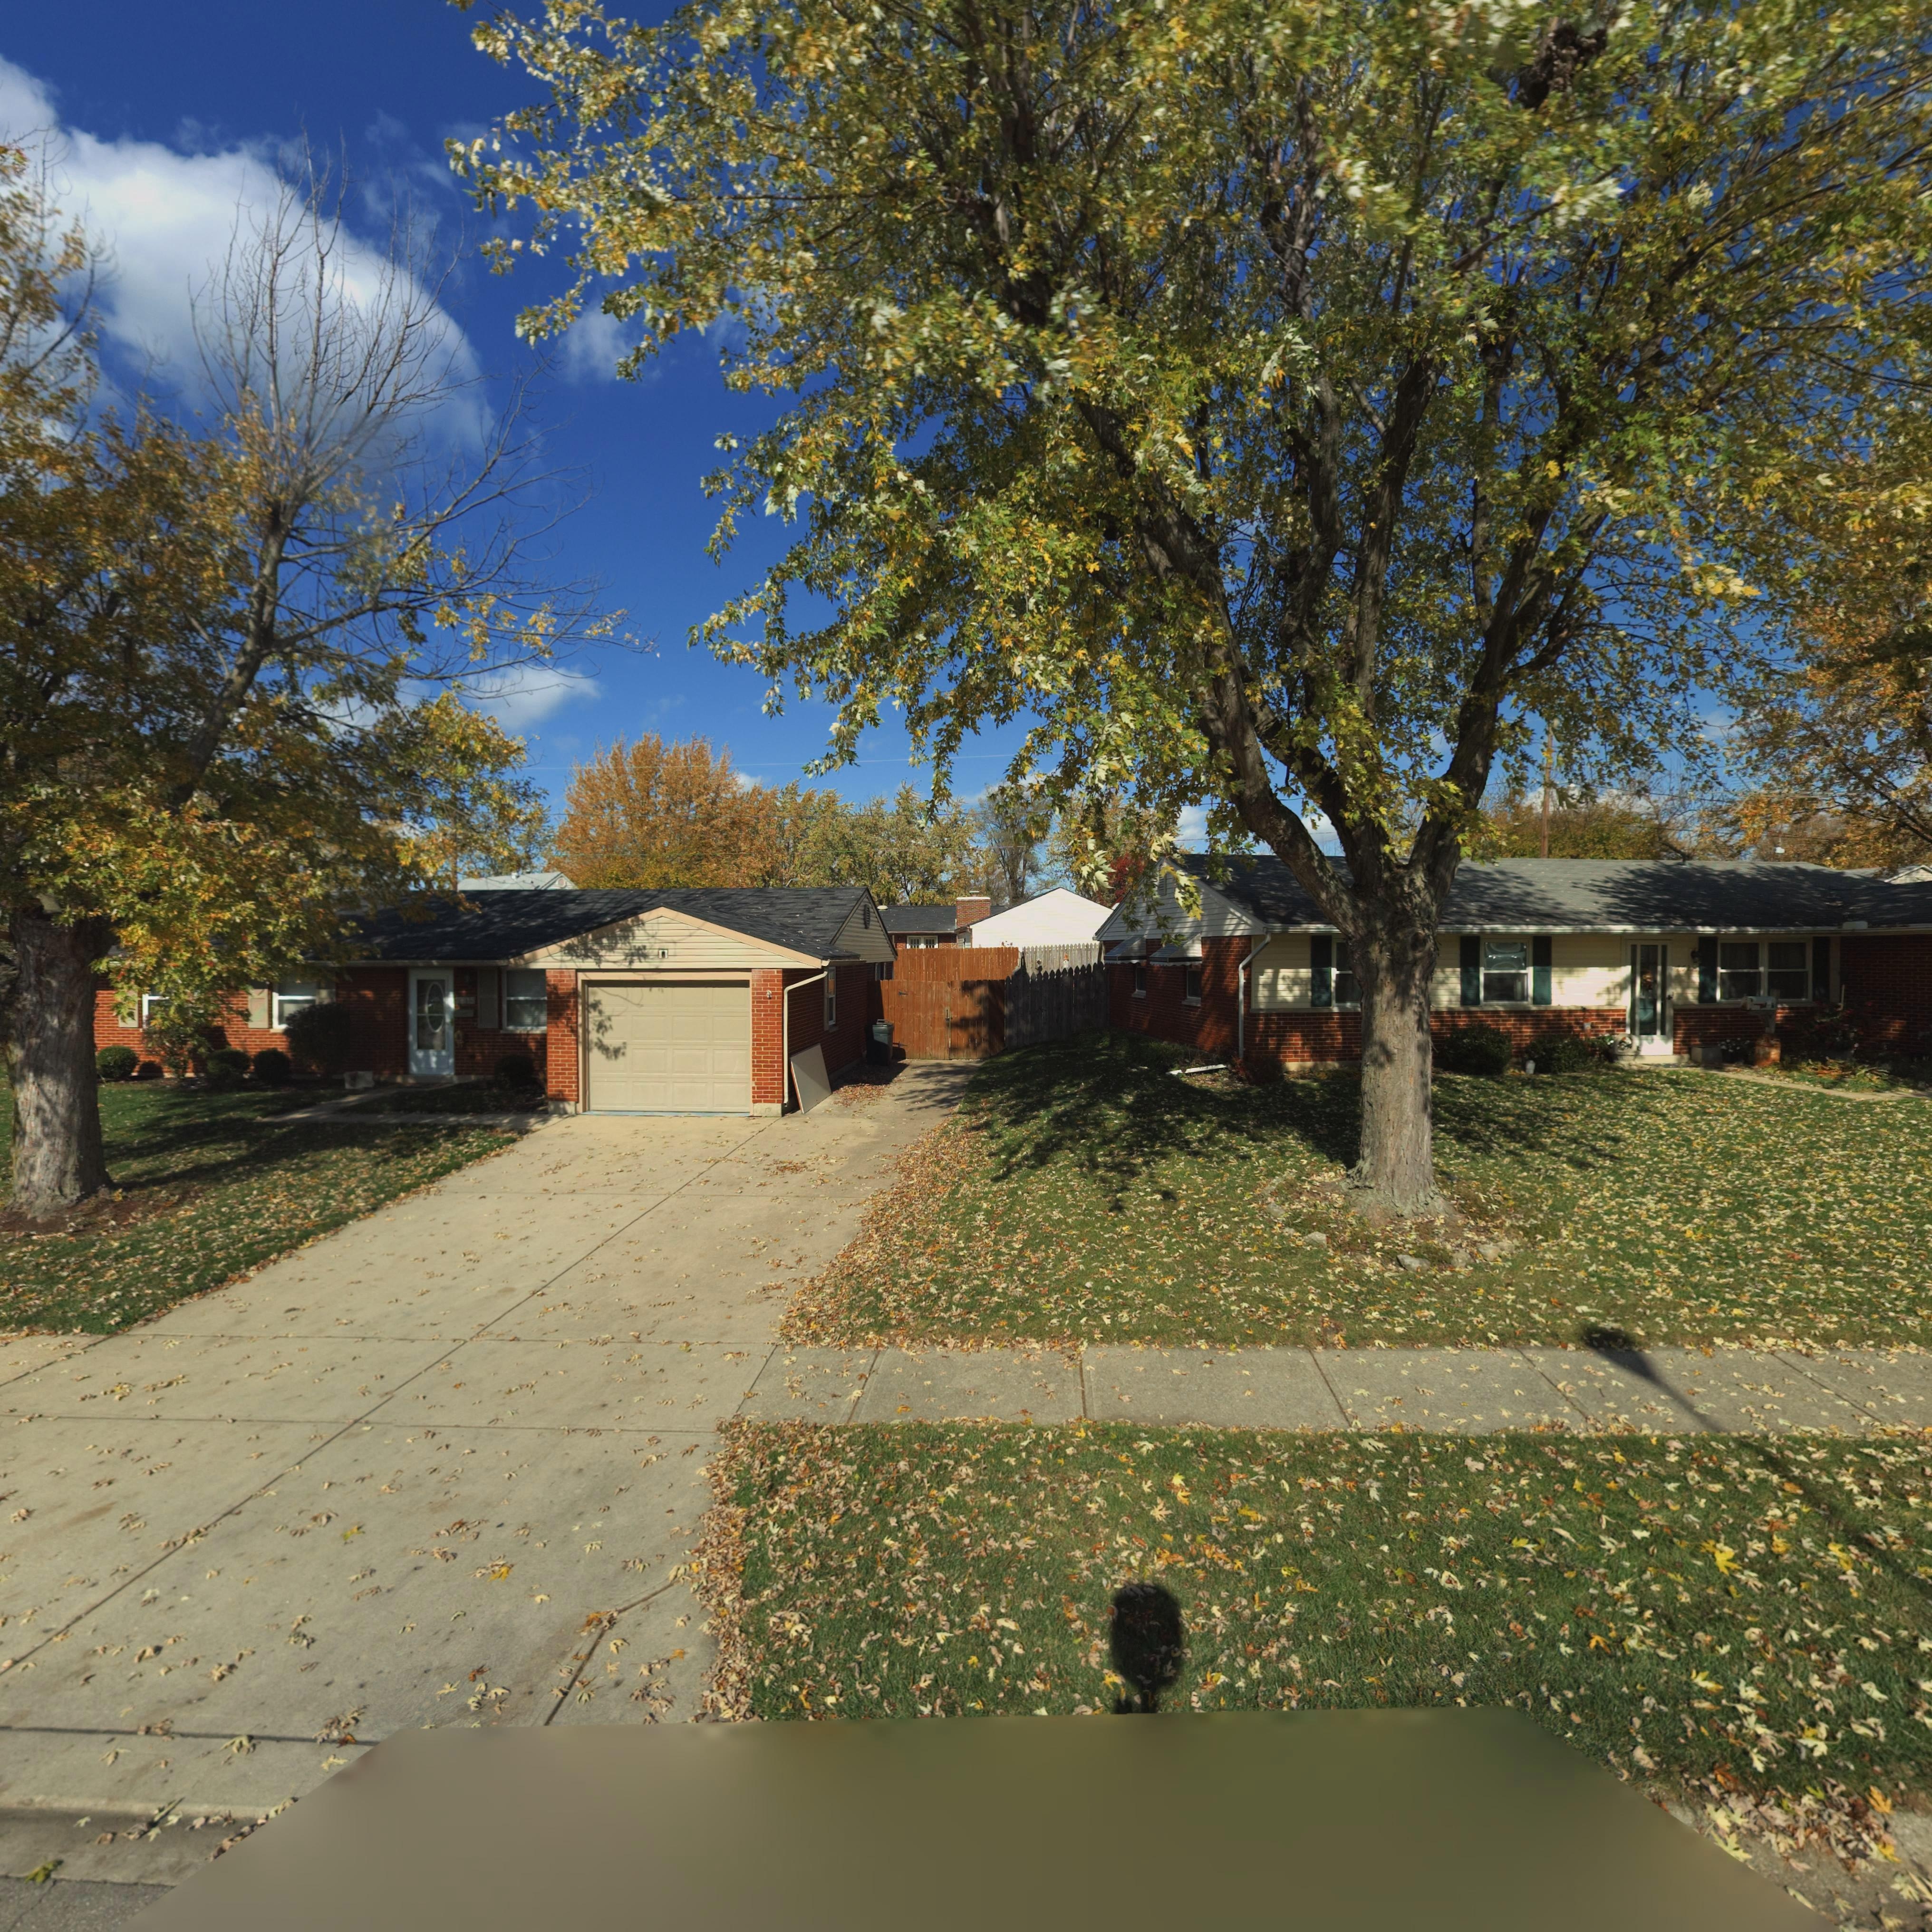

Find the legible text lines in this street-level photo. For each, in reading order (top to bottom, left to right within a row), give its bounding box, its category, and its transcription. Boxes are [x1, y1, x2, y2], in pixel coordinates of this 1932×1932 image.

[1675, 965, 1691, 971] StreetNumber: 762
[455, 996, 475, 1005] StreetNumber: 7615